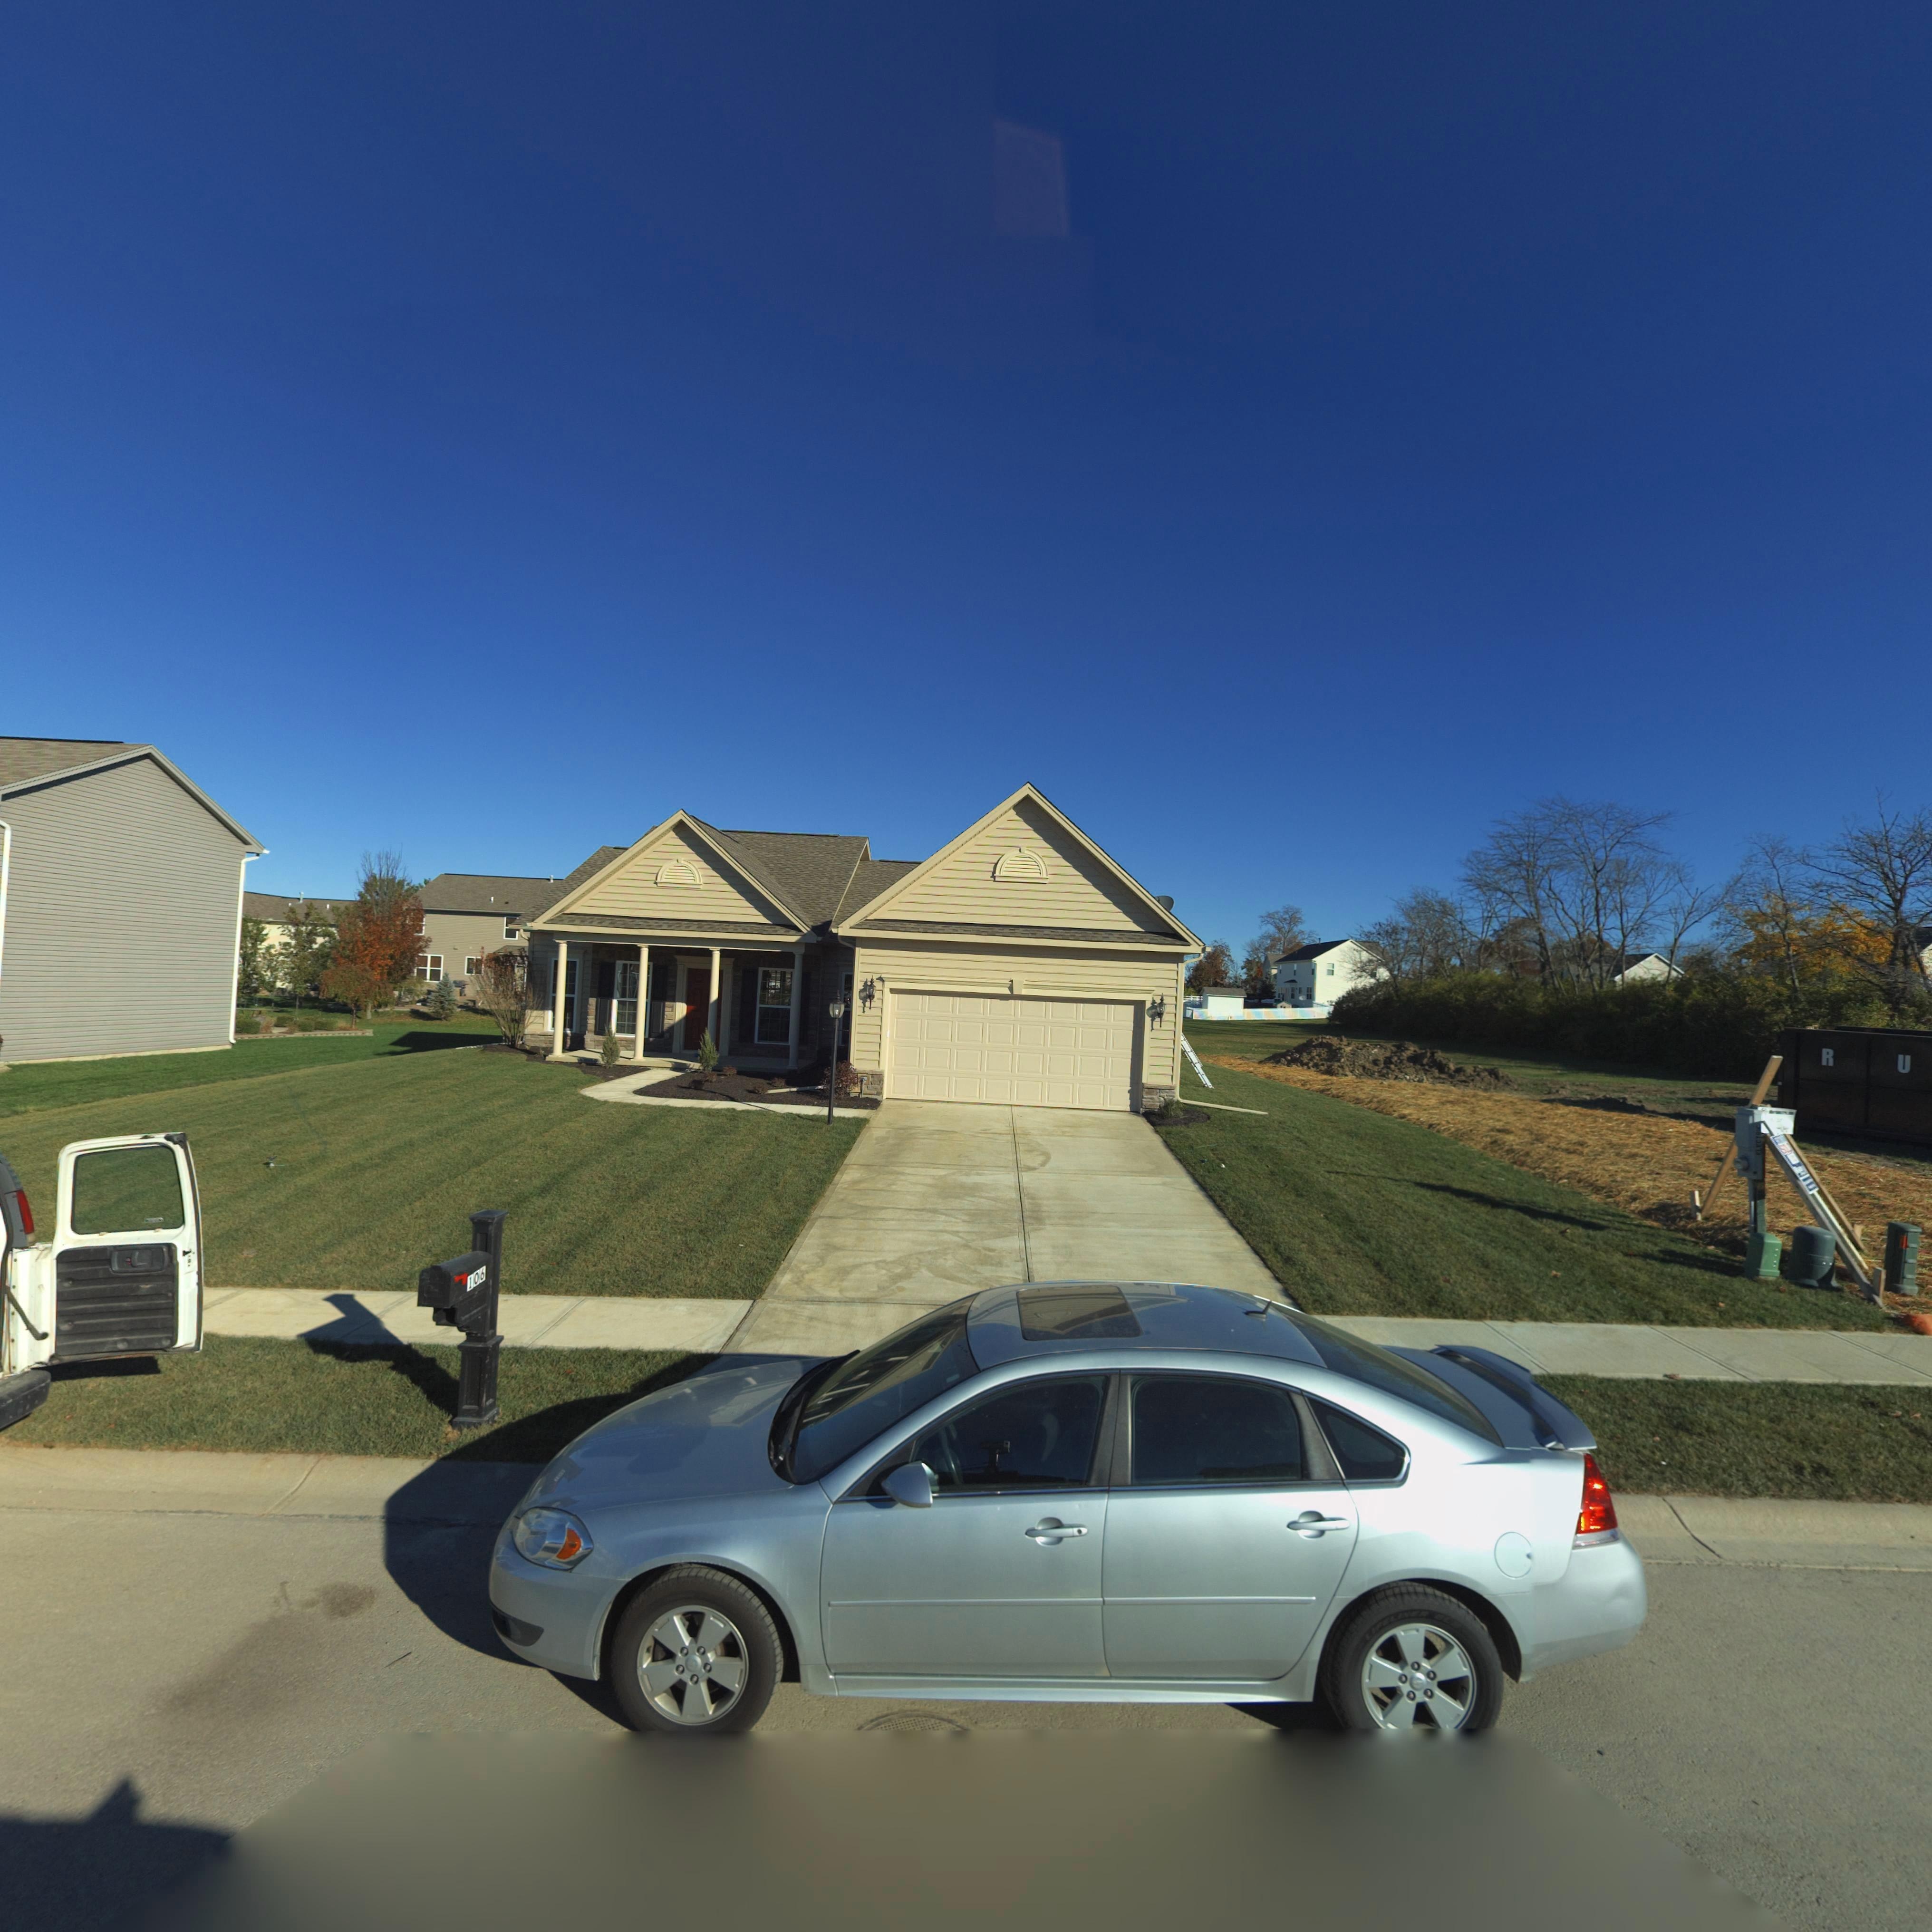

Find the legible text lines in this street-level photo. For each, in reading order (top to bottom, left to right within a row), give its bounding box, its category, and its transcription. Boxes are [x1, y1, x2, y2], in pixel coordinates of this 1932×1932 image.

[468, 1265, 485, 1291] StreetNumber: 106